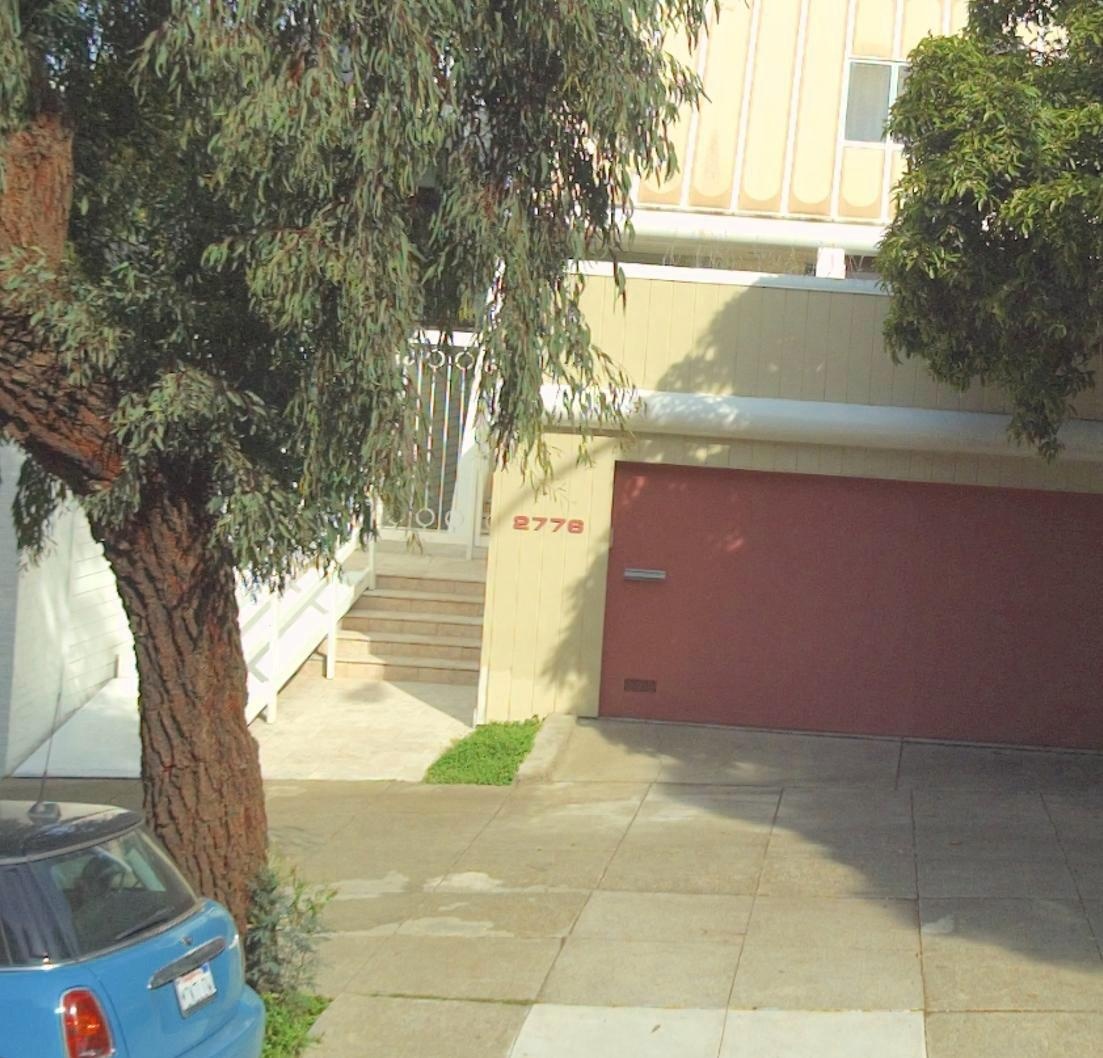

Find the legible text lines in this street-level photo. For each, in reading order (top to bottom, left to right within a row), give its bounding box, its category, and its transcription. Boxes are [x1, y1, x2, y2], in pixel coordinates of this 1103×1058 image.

[509, 511, 588, 538] StreetNumber: 2776